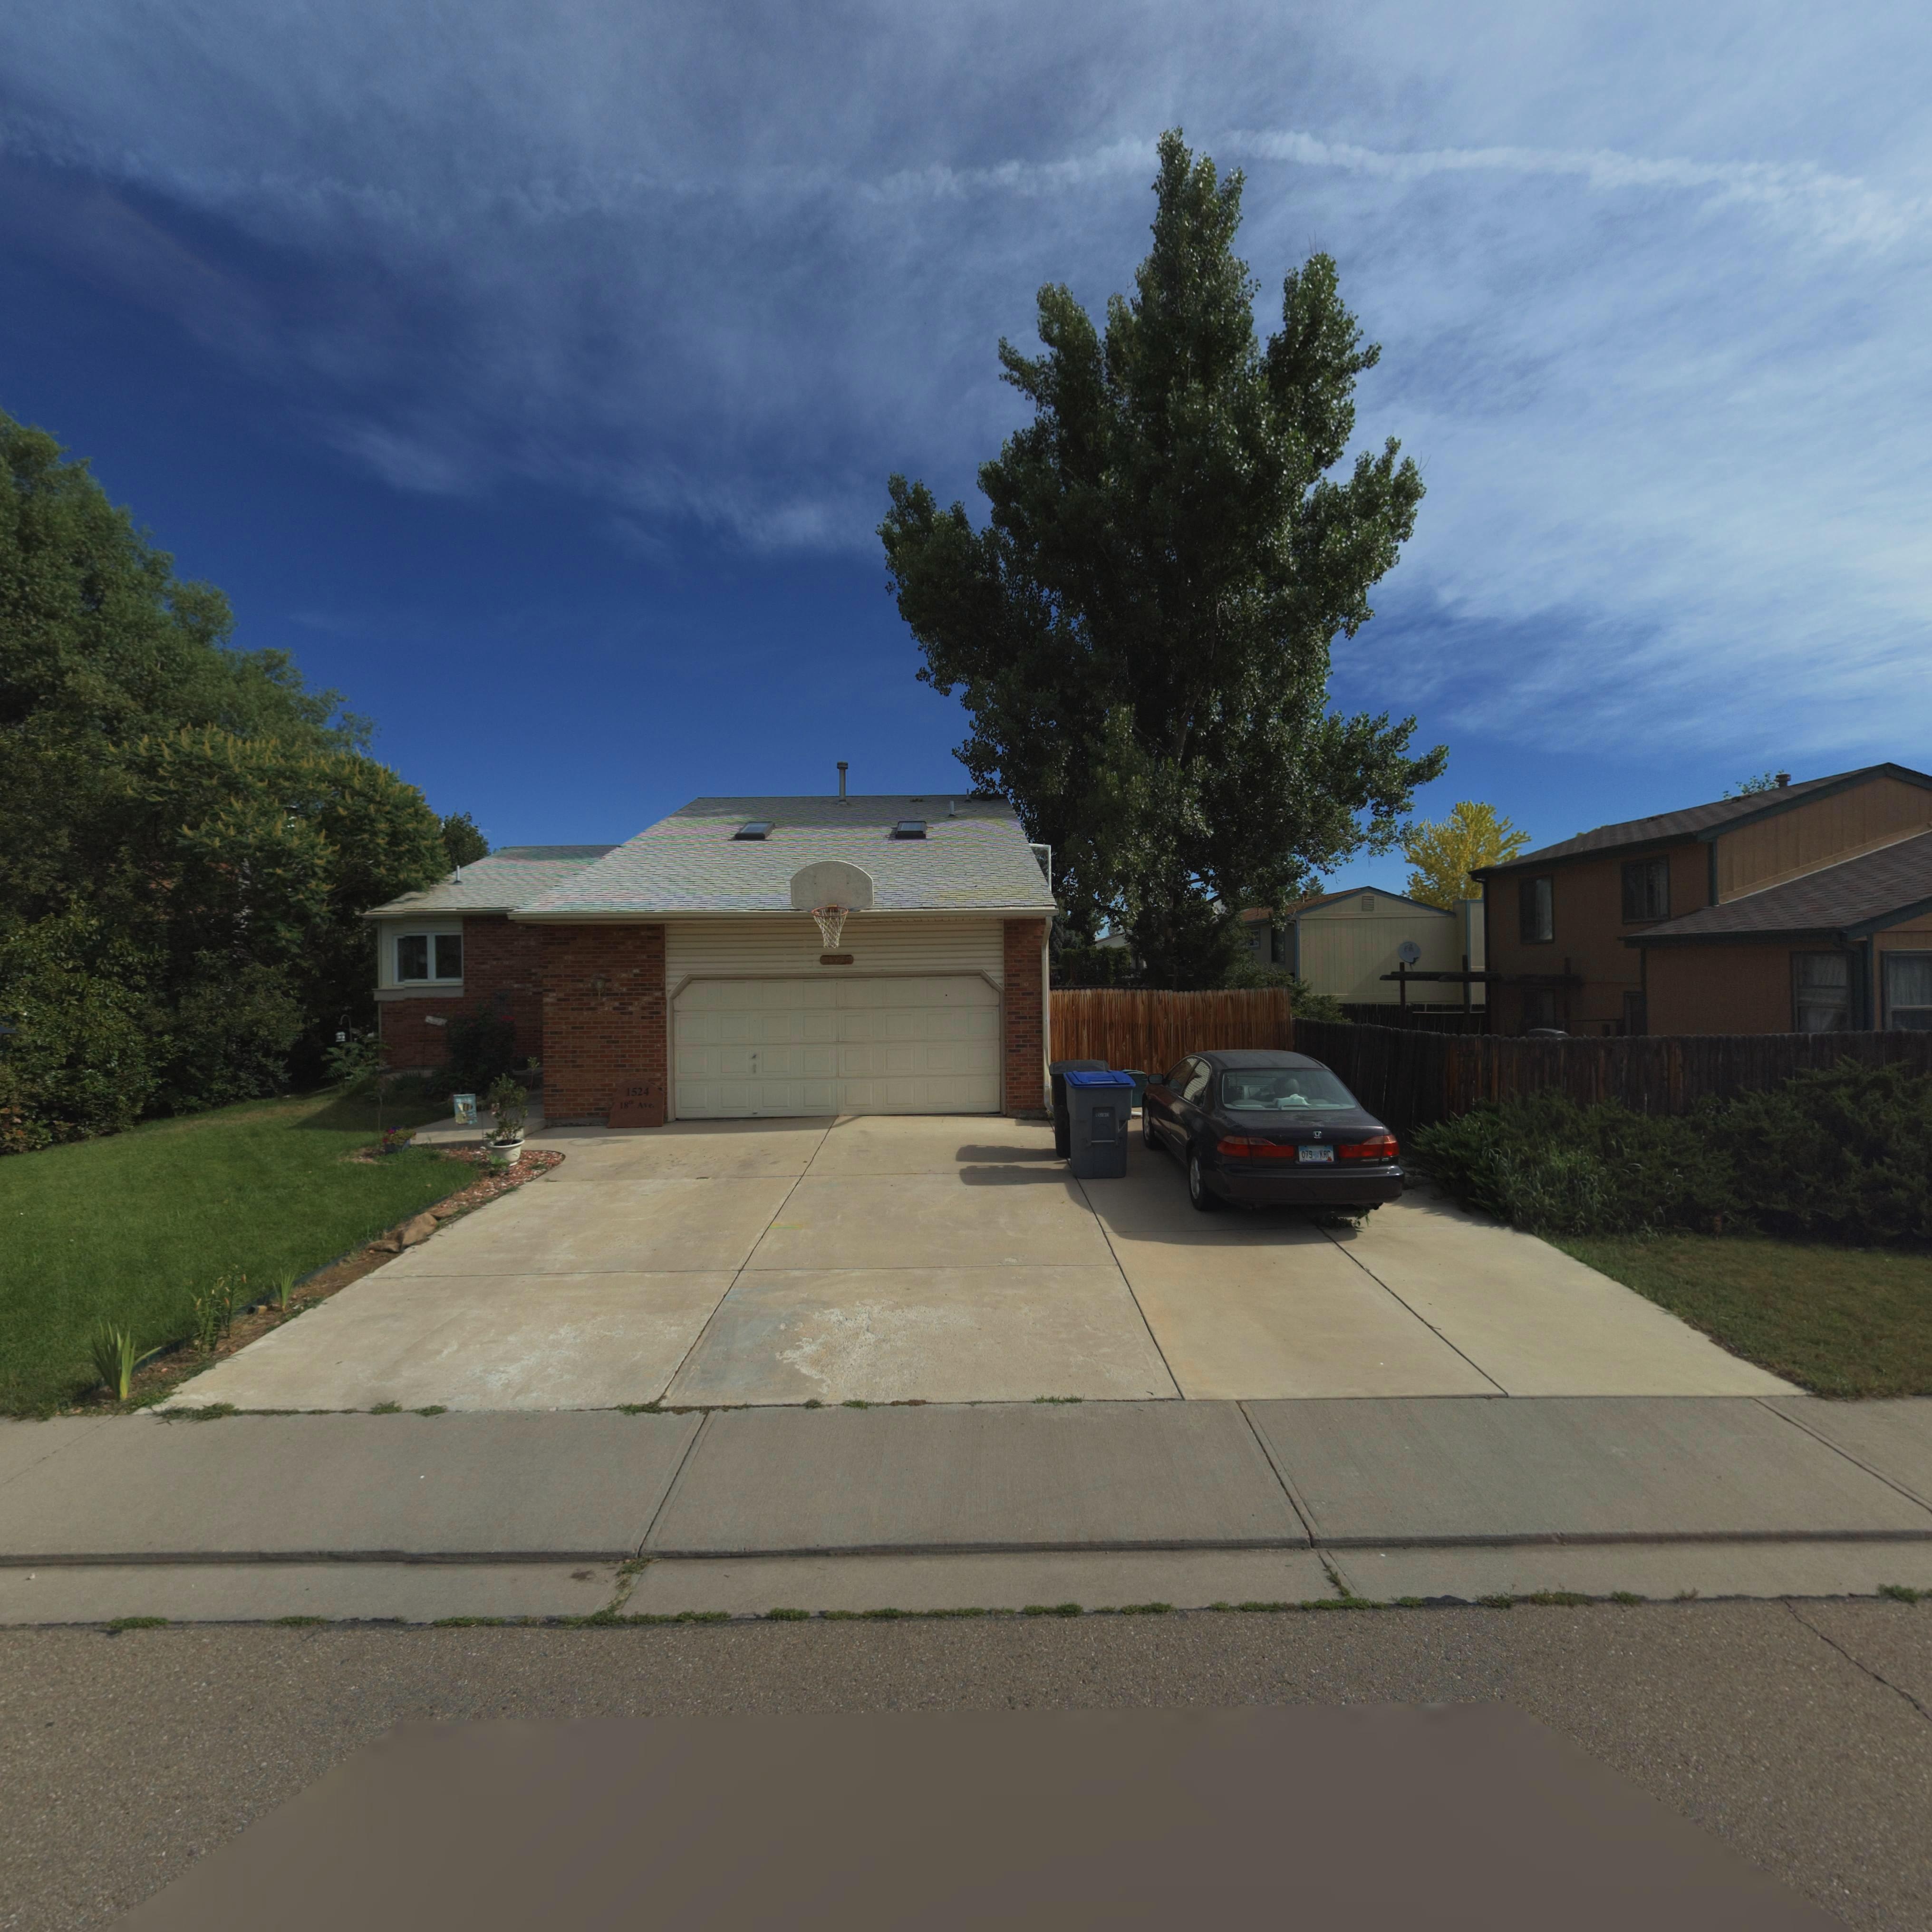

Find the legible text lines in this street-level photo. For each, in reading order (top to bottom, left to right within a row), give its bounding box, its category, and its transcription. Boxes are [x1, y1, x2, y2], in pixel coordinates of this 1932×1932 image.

[627, 1087, 648, 1096] StreetNumber: 1524
[620, 1100, 654, 1109] StreetName: 18th Ave